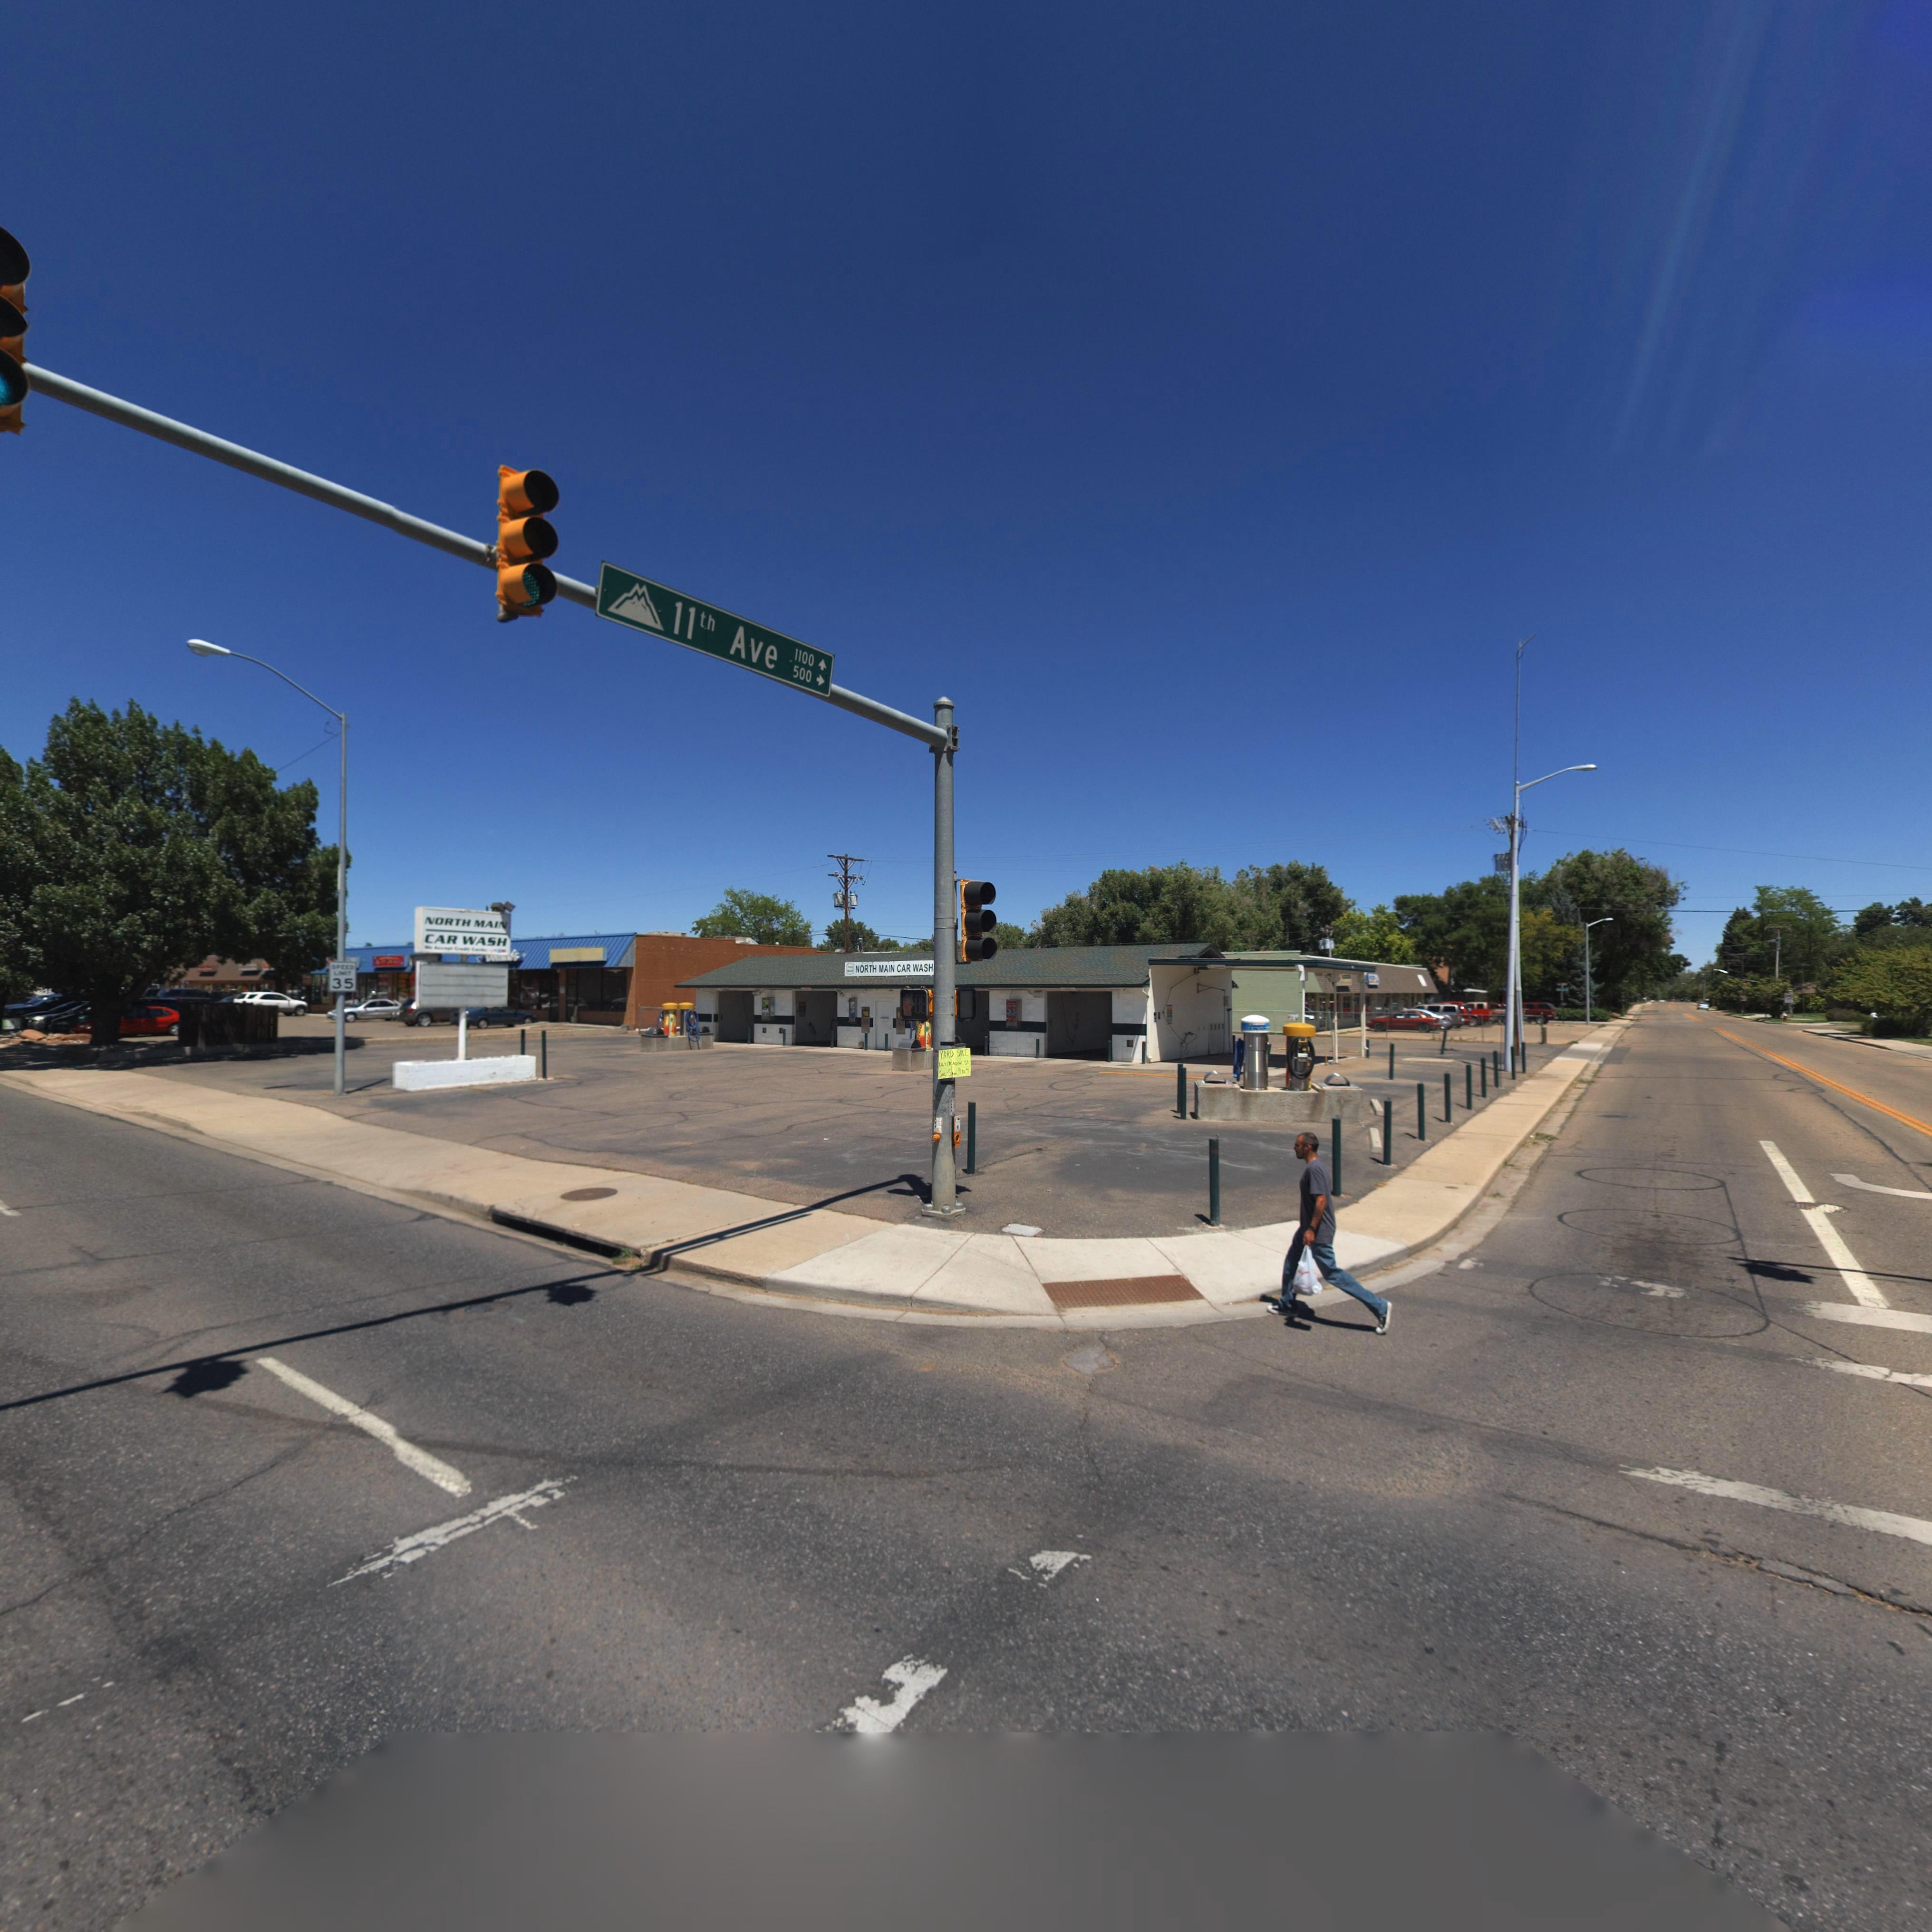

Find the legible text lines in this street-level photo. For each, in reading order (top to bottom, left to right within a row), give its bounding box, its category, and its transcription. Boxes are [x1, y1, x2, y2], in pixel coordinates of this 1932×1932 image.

[670, 601, 778, 670] StreetName: 11th Ave
[793, 648, 815, 667] StreetNumber: 1100
[792, 664, 825, 686] StreetNumberRange: 500->
[423, 915, 509, 930] BusinessName: NORTH MAIN
[424, 932, 508, 947] BusinessName: CAR WASH
[855, 963, 933, 974] BusinessName: NORTH MAIN CAR WASH